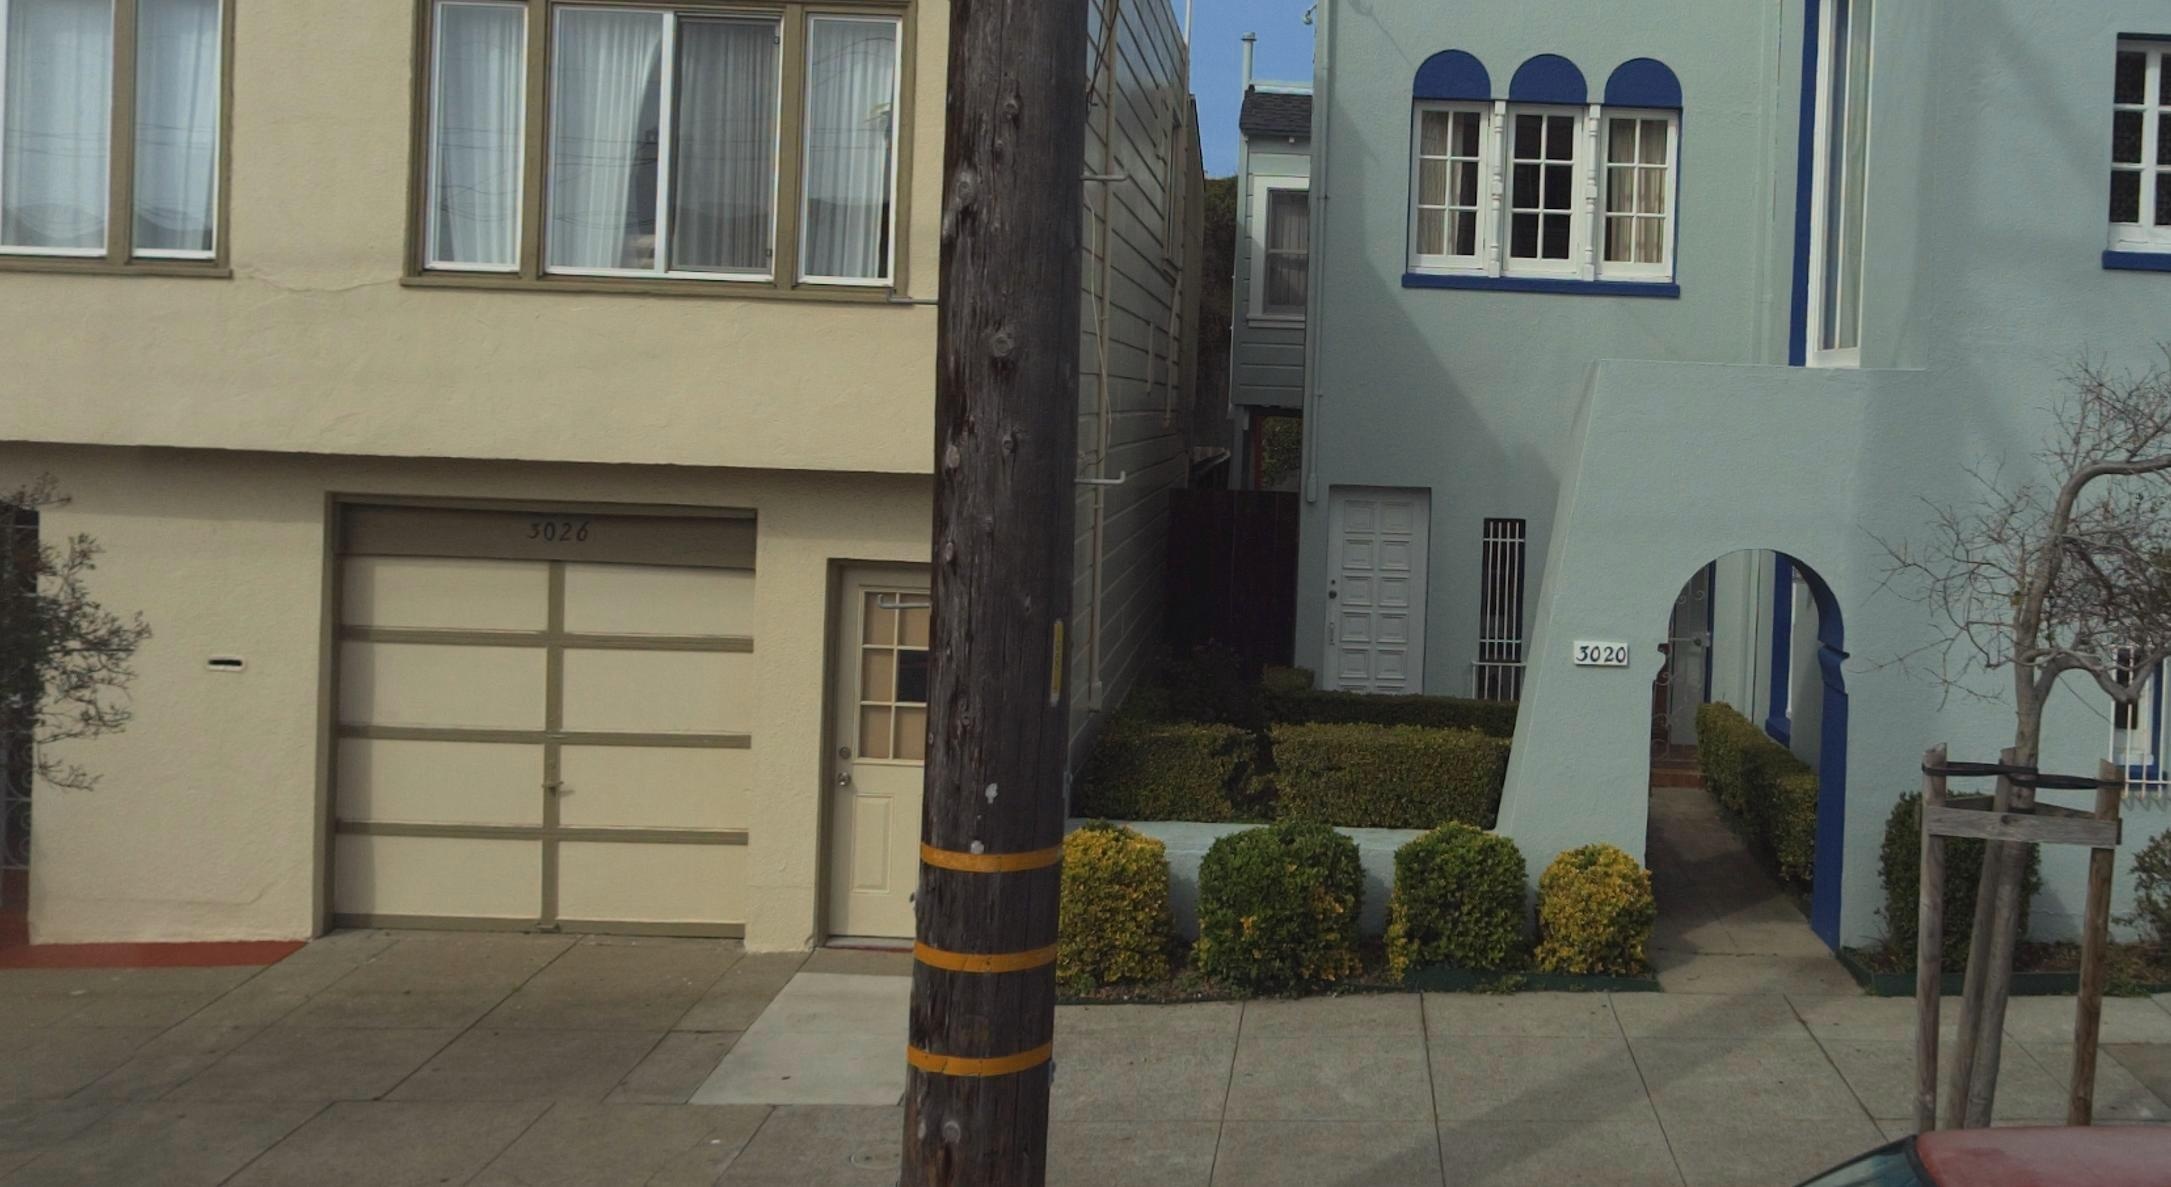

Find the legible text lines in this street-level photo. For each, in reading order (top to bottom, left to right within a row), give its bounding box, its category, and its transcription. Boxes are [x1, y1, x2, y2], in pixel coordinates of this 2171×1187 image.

[526, 519, 593, 543] StreetNumber: 3026
[1575, 644, 1628, 664] StreetNumber: 3020